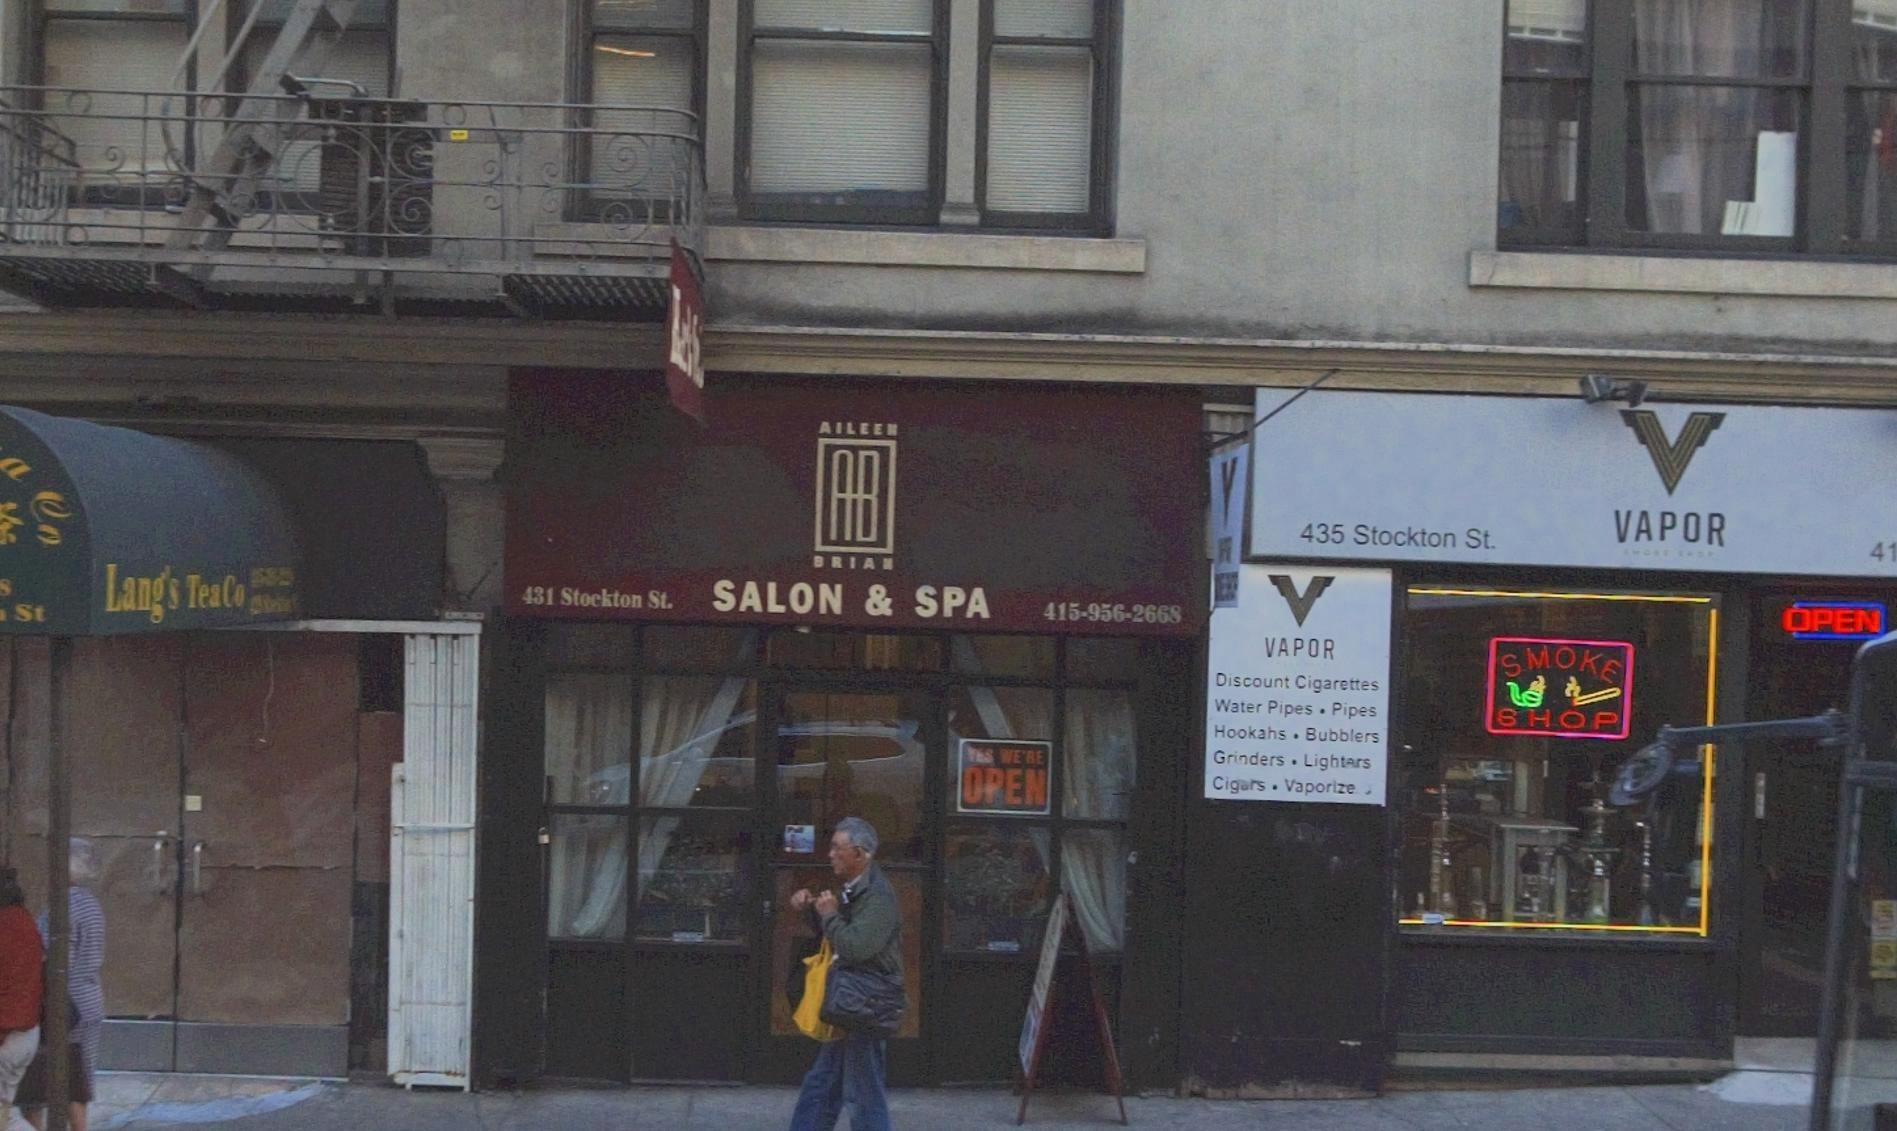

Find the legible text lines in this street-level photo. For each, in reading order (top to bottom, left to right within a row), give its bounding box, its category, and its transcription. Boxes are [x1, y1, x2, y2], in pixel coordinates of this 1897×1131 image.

[817, 419, 899, 438] BusinessName: AILEEN
[1611, 406, 1732, 500] BusinessName: V
[826, 447, 882, 544] BusinessName: AB
[1217, 456, 1239, 531] None: Y
[1299, 522, 1346, 545] StreetNumber: 435
[1353, 523, 1496, 552] StreetName: Stockton St.
[1611, 507, 1726, 548] BusinessName: VAPOR
[813, 554, 894, 572] BusinessName: BRIAN
[1624, 546, 1717, 560] BusinessName: SMOKE SHOP
[1868, 540, 1897, 563] None: 41
[11, 600, 48, 625] None: St
[102, 561, 247, 627] BusinessName: Lang's TeaCo
[520, 584, 555, 607] StreetNumber: 431
[558, 585, 674, 611] StreetName: Stockton St.
[712, 578, 994, 620] BusinessName: SALON & SPA
[1040, 599, 1182, 626] None: 415-956-2668
[1262, 573, 1339, 629] BusinessName: V
[1781, 606, 1881, 634] None: OPEN
[1262, 635, 1336, 661] BusinessName: VAPOR
[1498, 642, 1627, 685] None: SMOKE
[1215, 670, 1380, 694] None: Discount Cigarettes
[1214, 698, 1377, 720] None: Water Pipes*Pipes
[1494, 704, 1620, 734] None: SHOP
[1213, 723, 1381, 745] None: Hookahs*Bubblers
[966, 746, 1046, 767] None: YES WE'RE
[1212, 749, 1373, 772] None: Grinders*Lighters
[961, 764, 1048, 808] None: OPEN
[1211, 774, 1356, 797] None: Cigars*Vaporize